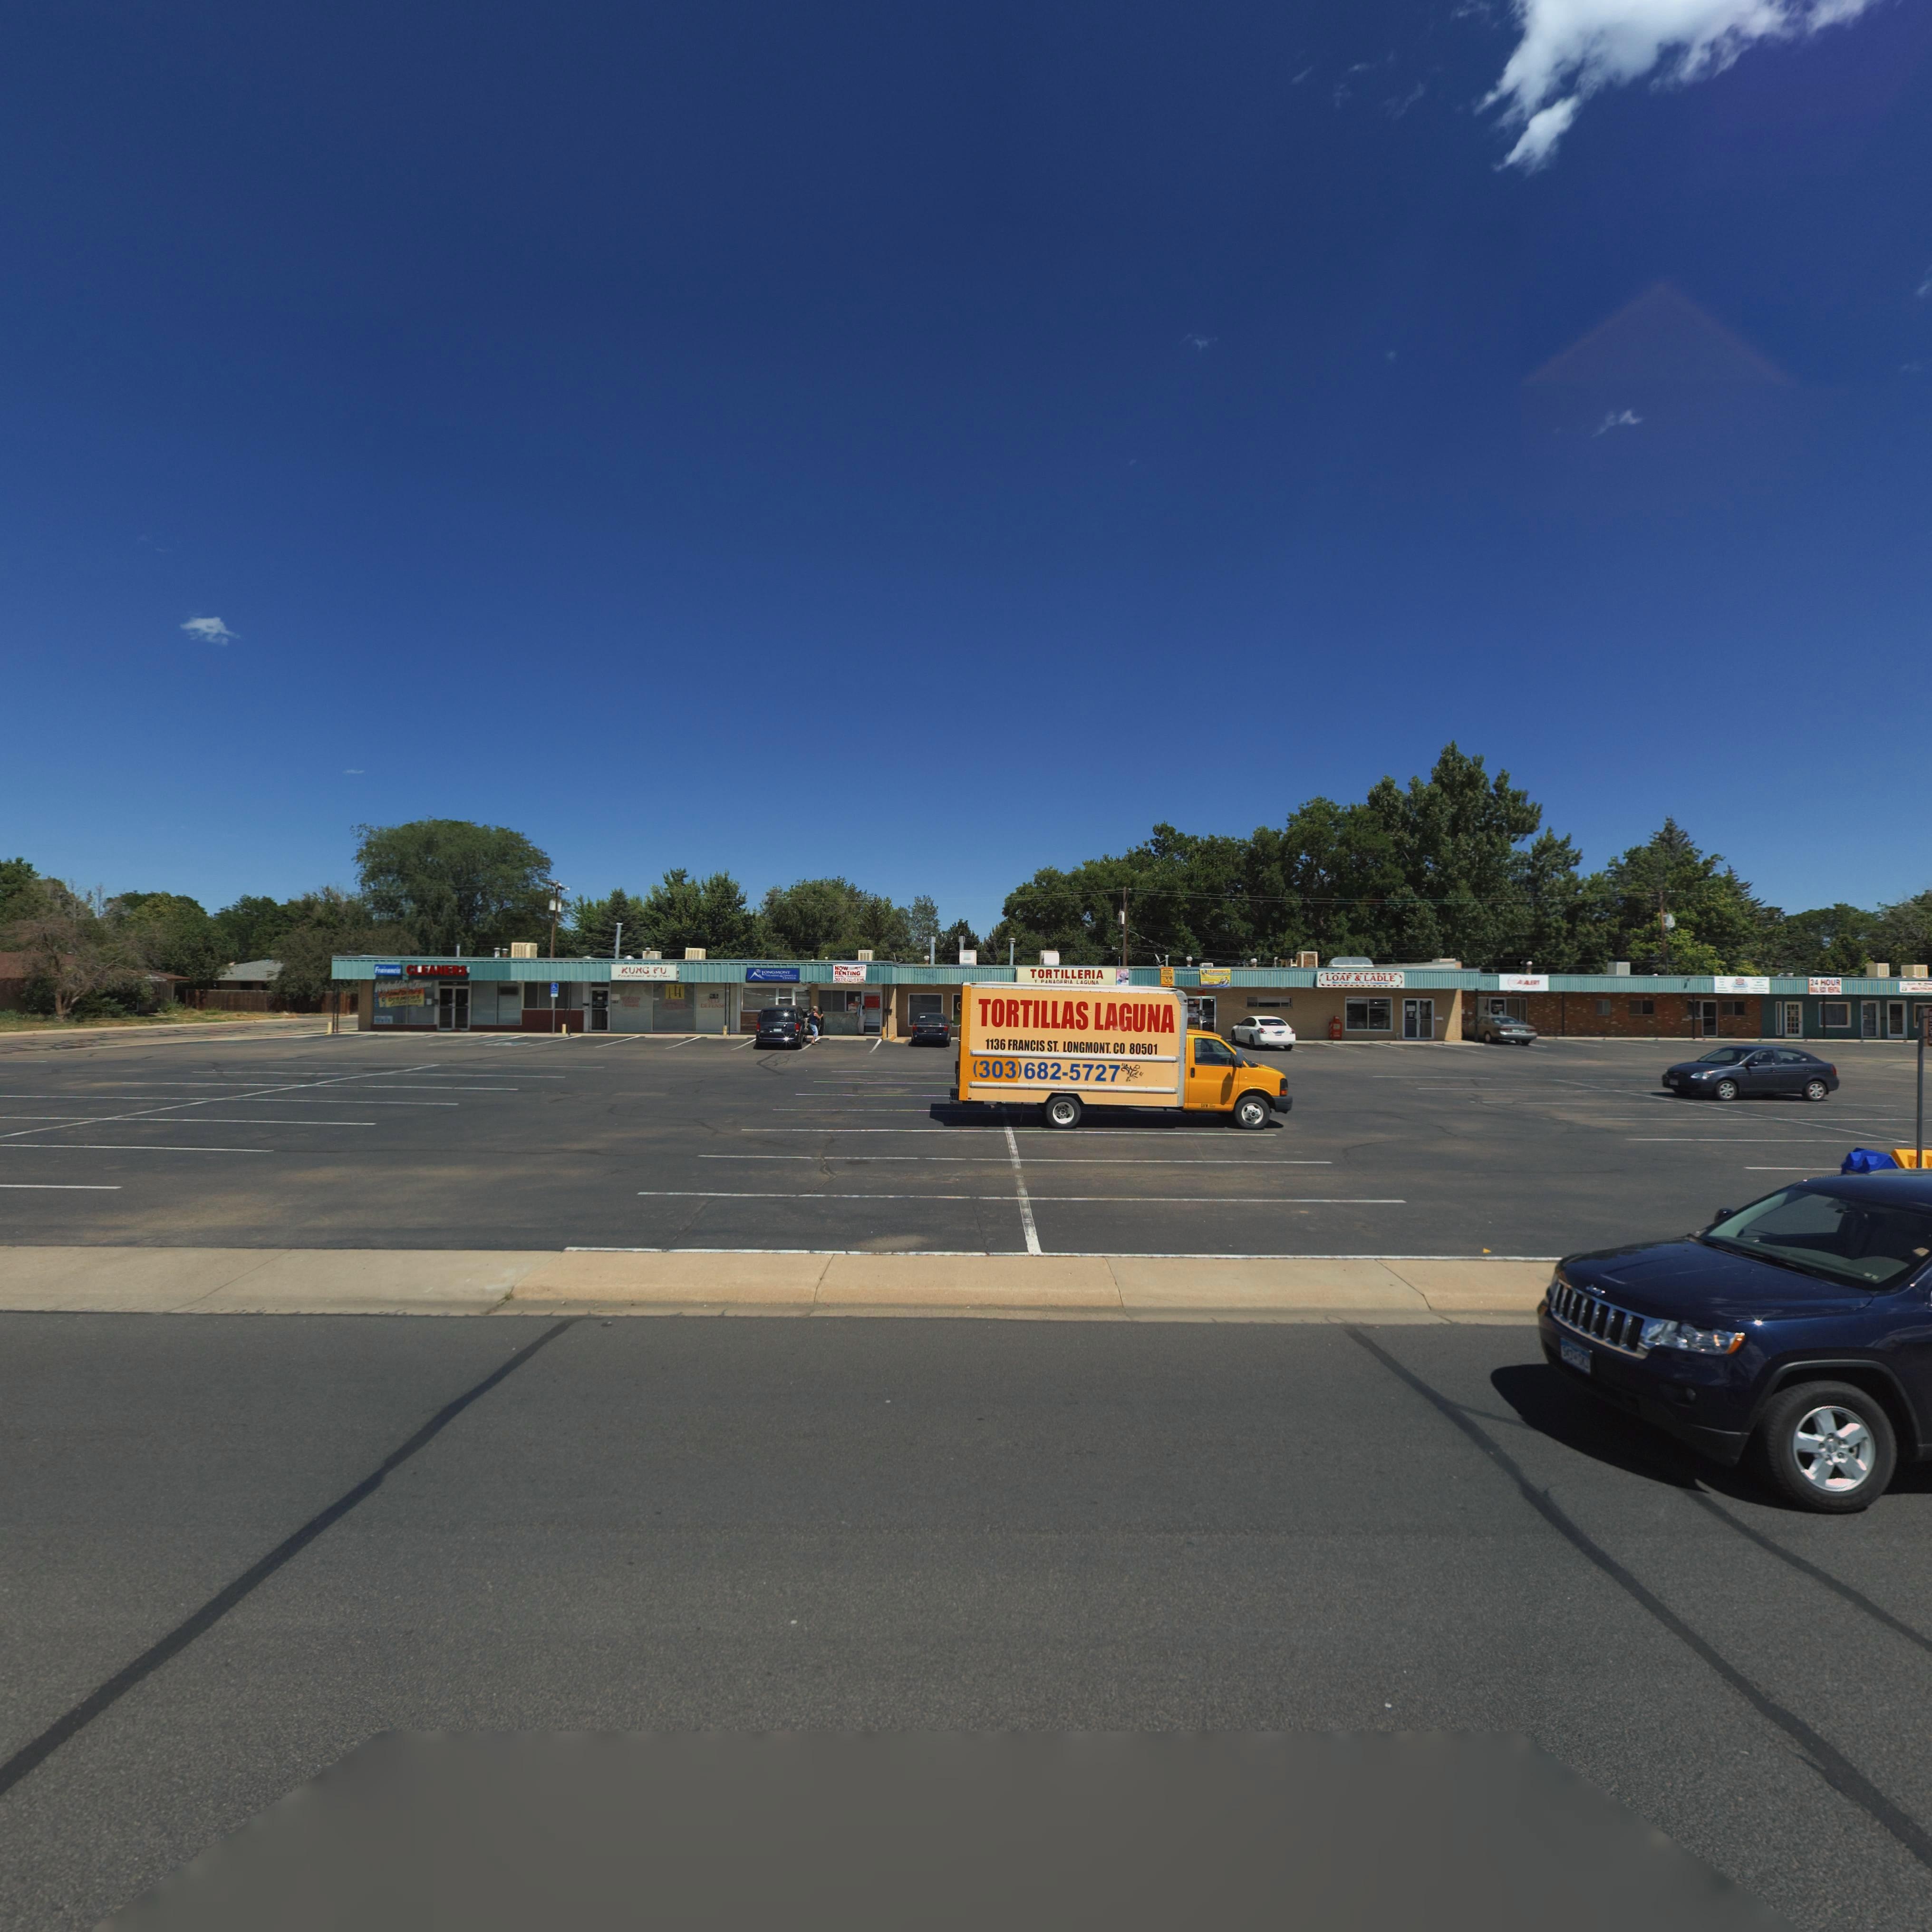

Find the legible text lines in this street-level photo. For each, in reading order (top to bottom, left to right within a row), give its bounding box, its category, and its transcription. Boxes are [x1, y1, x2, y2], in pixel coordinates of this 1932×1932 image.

[762, 970, 790, 976] BusinessName: LONGMONT
[1030, 968, 1104, 979] BusinessName: TORTILLERIA
[1326, 975, 1396, 981] BusinessName: LOAF & LADLE
[1523, 979, 1540, 985] BusinessName: ALERT